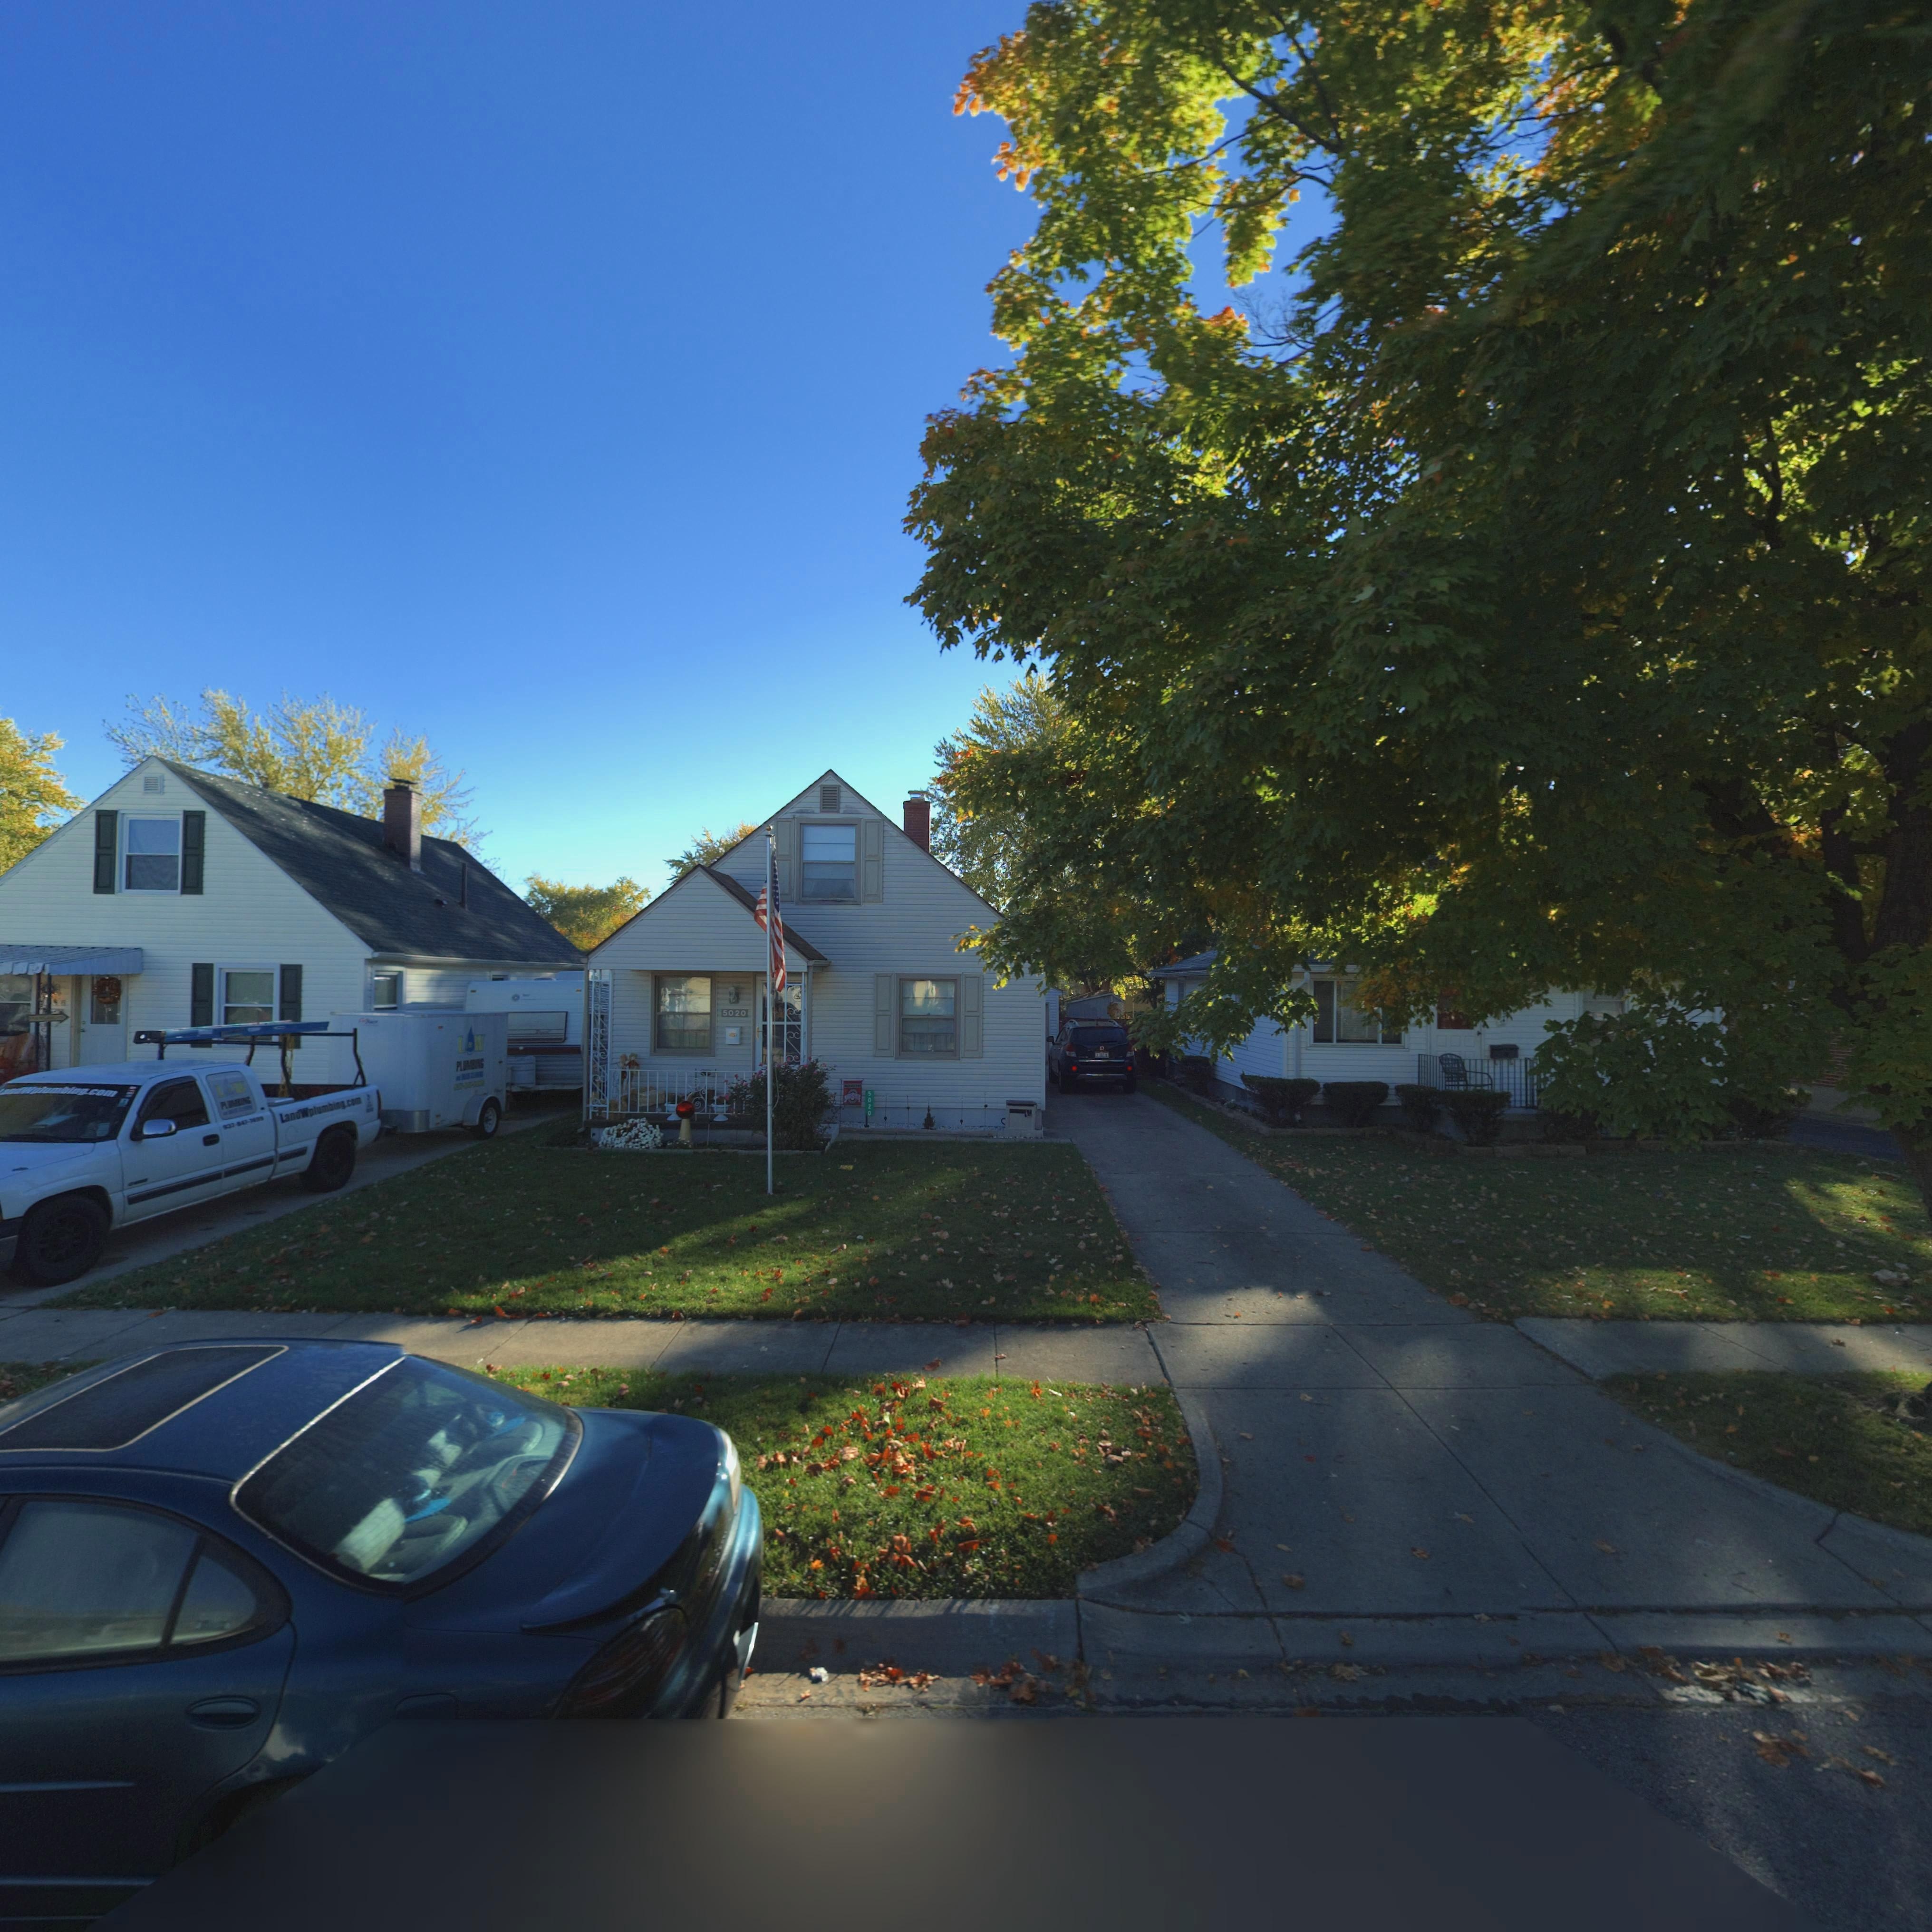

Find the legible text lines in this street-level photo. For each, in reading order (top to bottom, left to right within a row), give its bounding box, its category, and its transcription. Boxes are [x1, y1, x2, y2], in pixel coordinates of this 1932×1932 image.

[723, 1010, 746, 1016] StreetNumber: 5020
[867, 1091, 872, 1117] StreetNumber: 5020